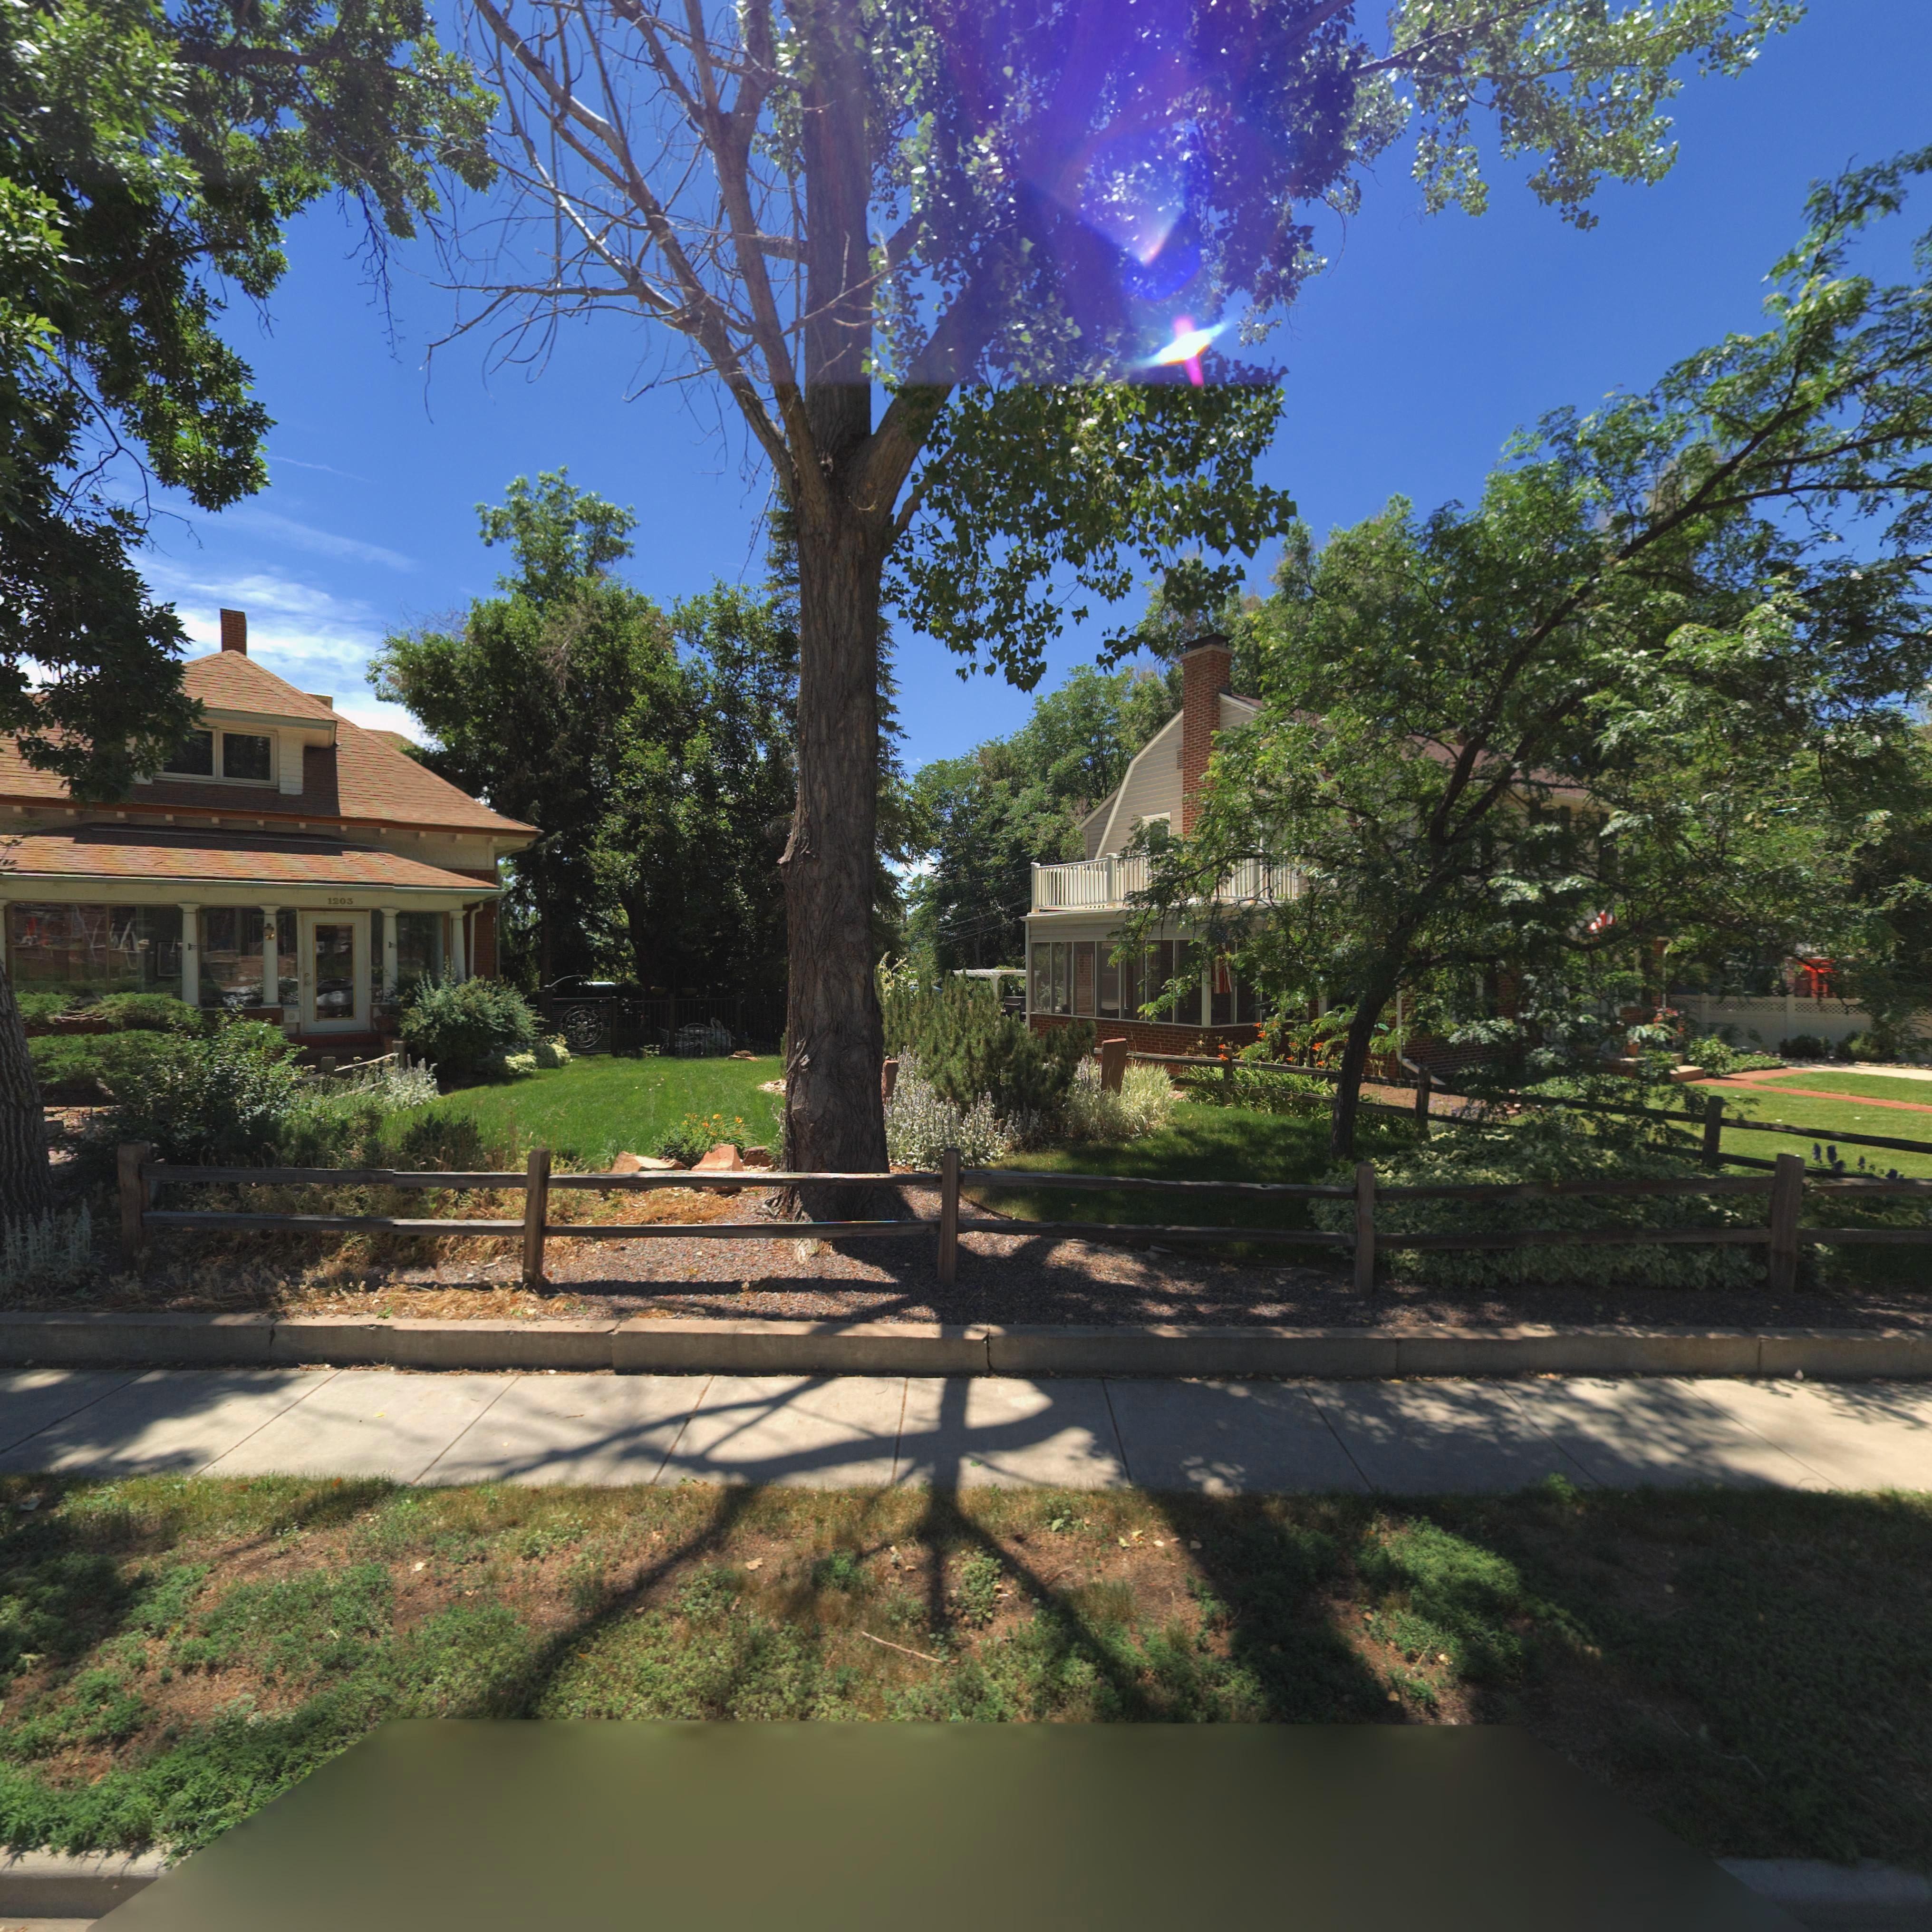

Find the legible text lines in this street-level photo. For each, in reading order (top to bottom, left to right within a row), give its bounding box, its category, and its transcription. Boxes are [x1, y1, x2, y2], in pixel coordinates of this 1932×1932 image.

[327, 897, 353, 905] StreetNumber: 1203